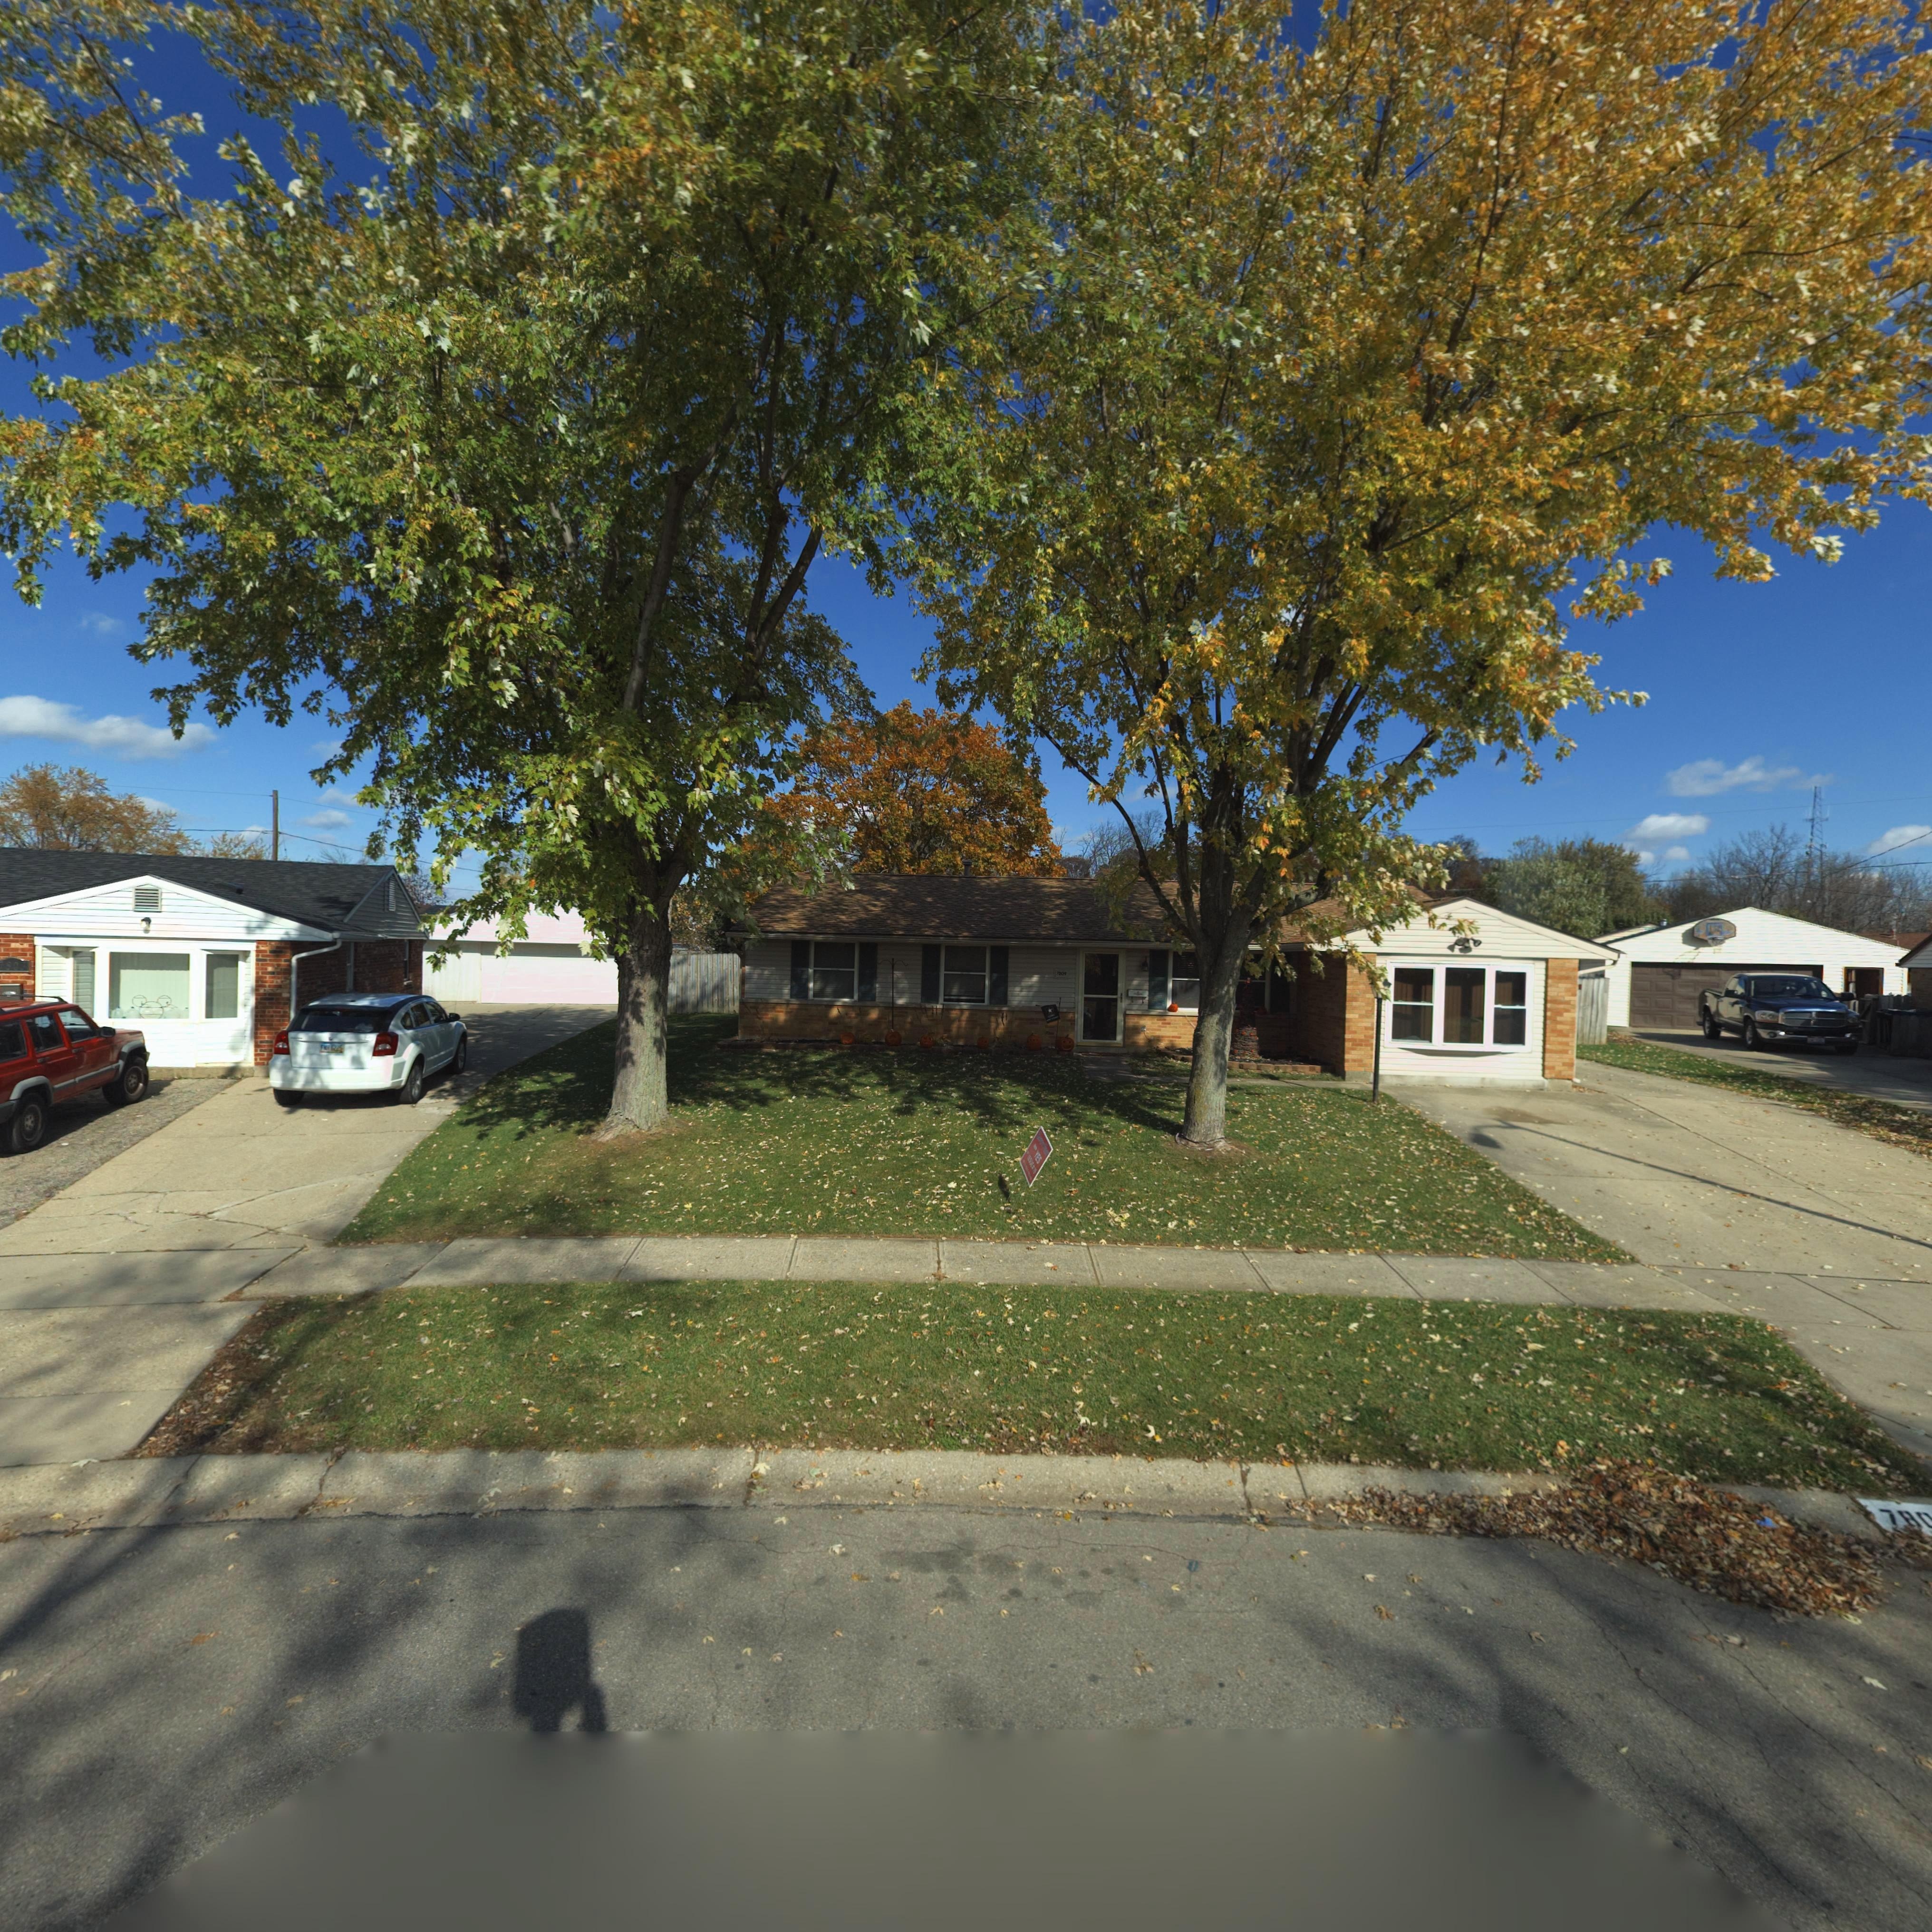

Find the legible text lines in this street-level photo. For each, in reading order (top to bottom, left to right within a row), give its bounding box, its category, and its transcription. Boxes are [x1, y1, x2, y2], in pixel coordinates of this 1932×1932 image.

[5, 961, 26, 971] StreetNumber: 803
[1056, 971, 1067, 976] StreetNumber: 7809
[1877, 1508, 1924, 1530] StreetNumber: 78